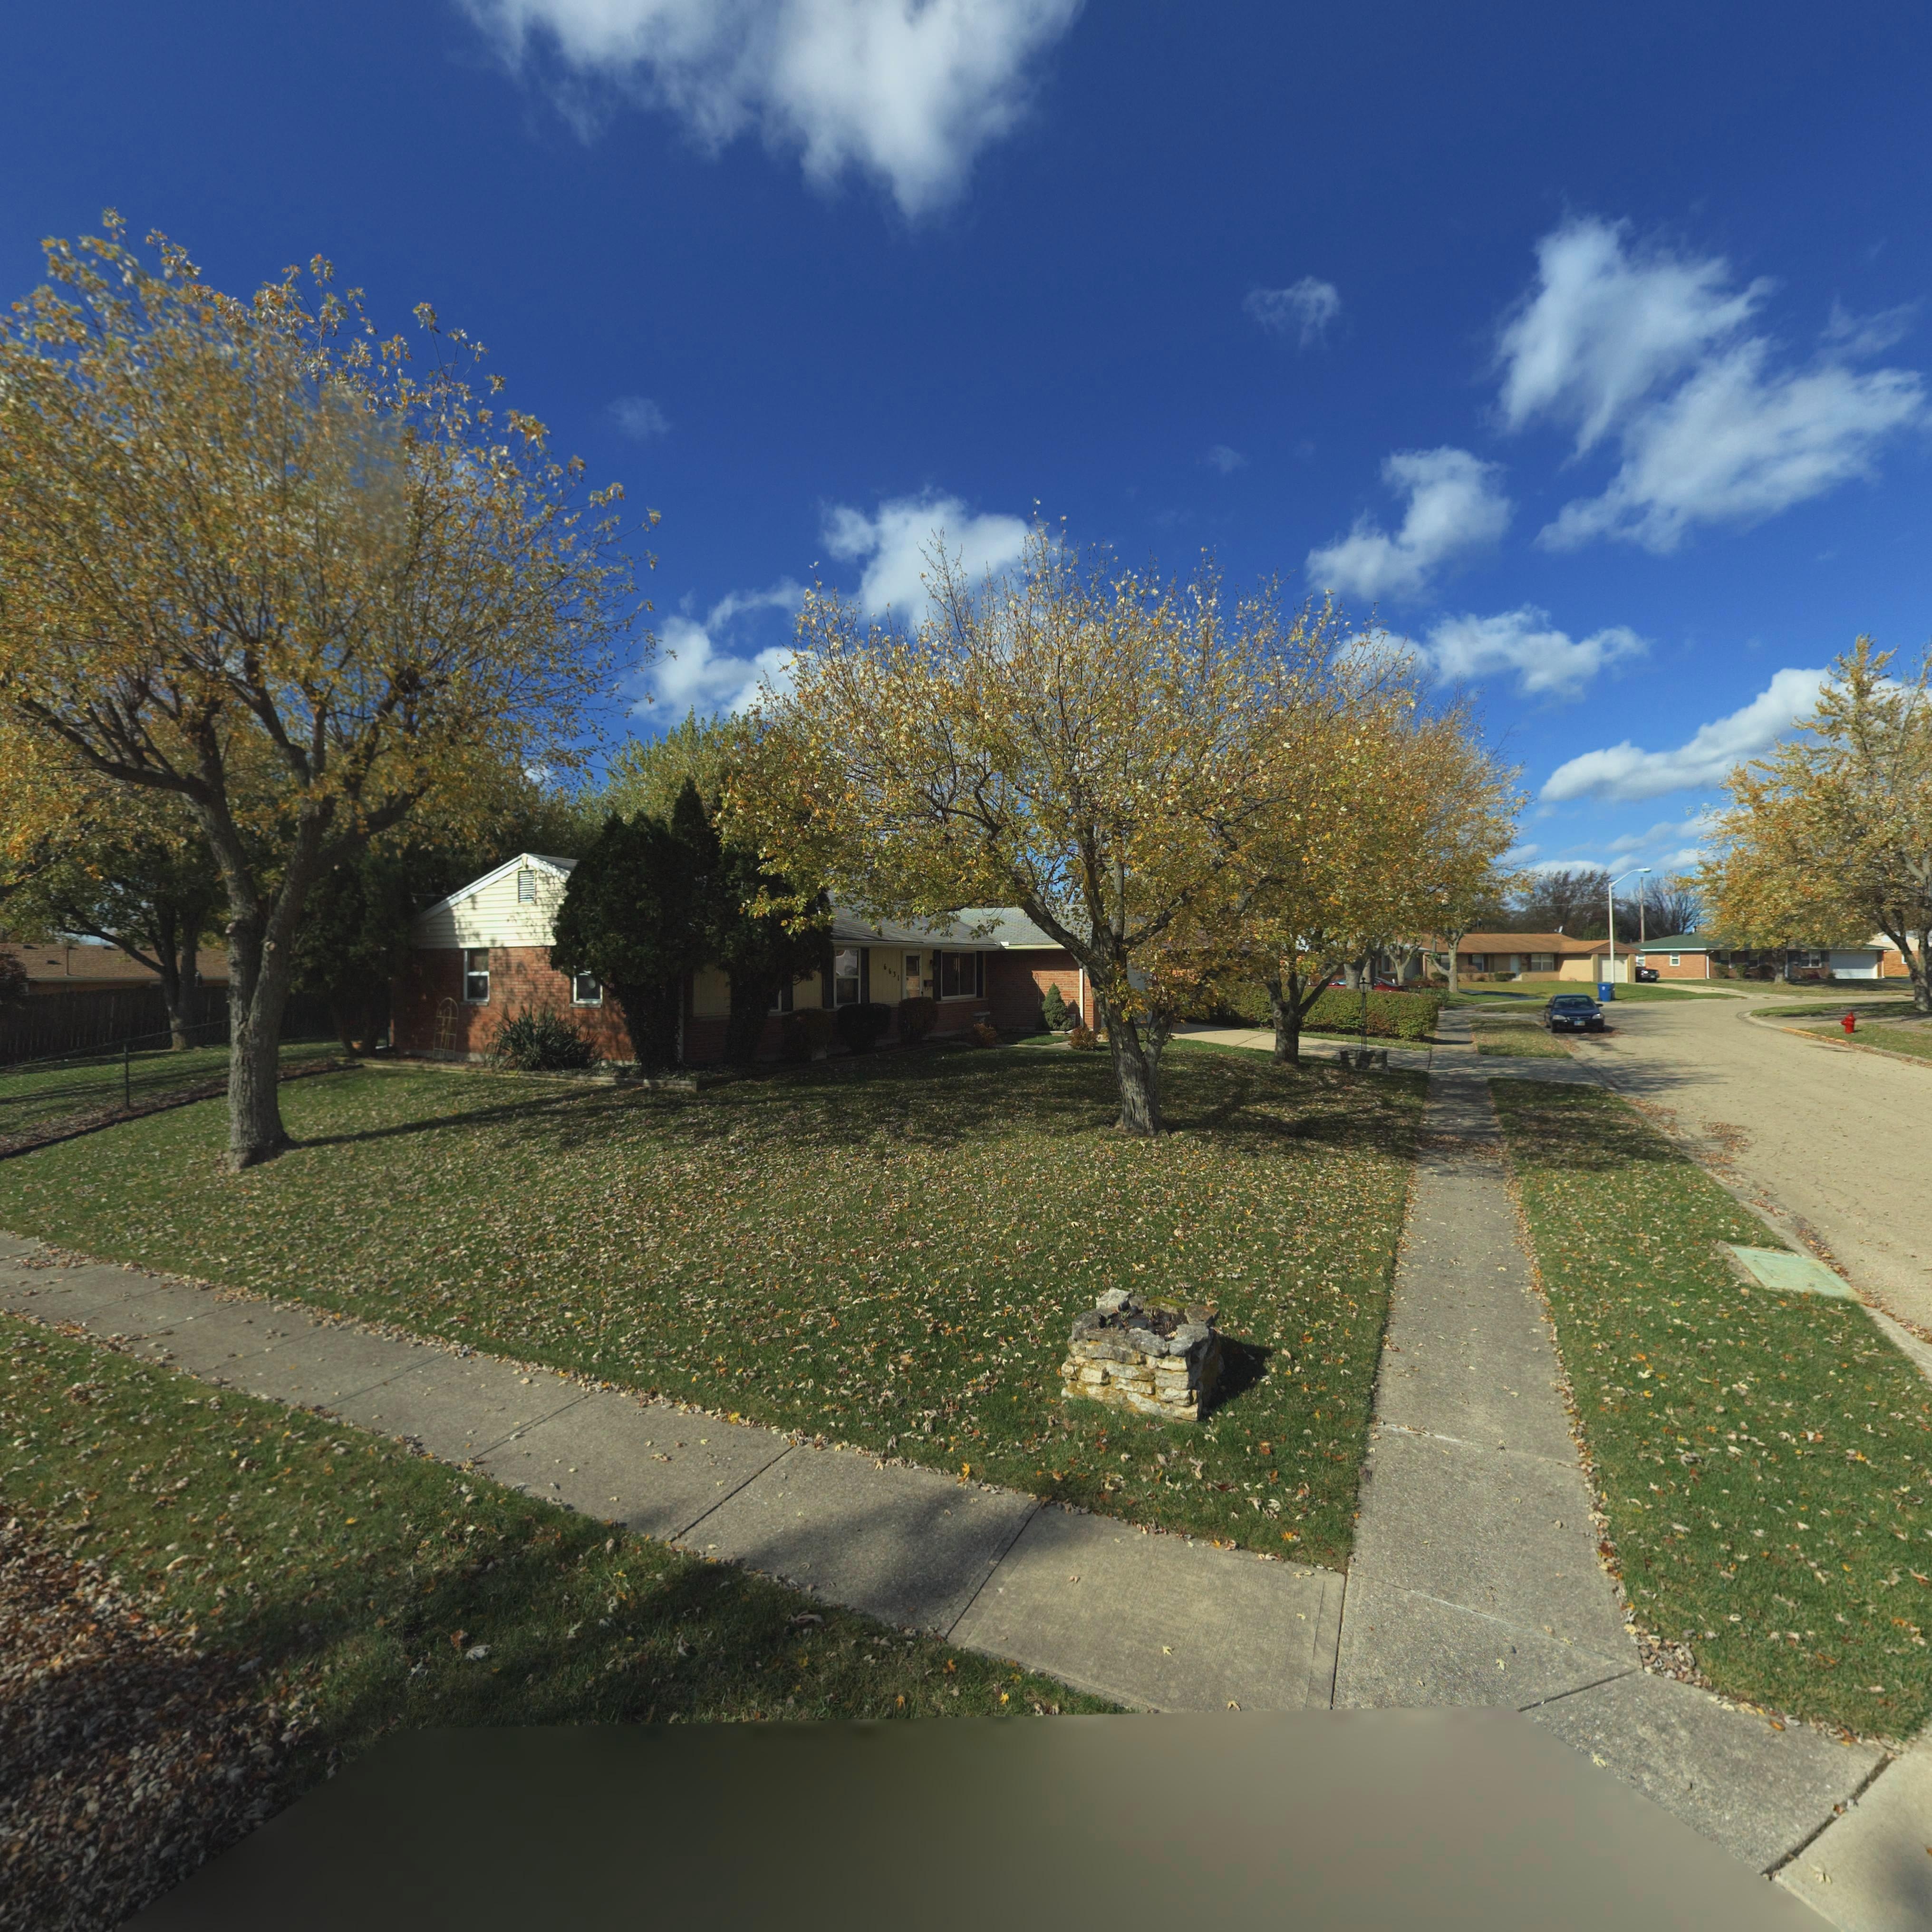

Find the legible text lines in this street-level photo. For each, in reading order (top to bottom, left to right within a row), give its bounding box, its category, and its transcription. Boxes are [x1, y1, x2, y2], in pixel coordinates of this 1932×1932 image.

[883, 962, 899, 982] StreetNumber: 6631